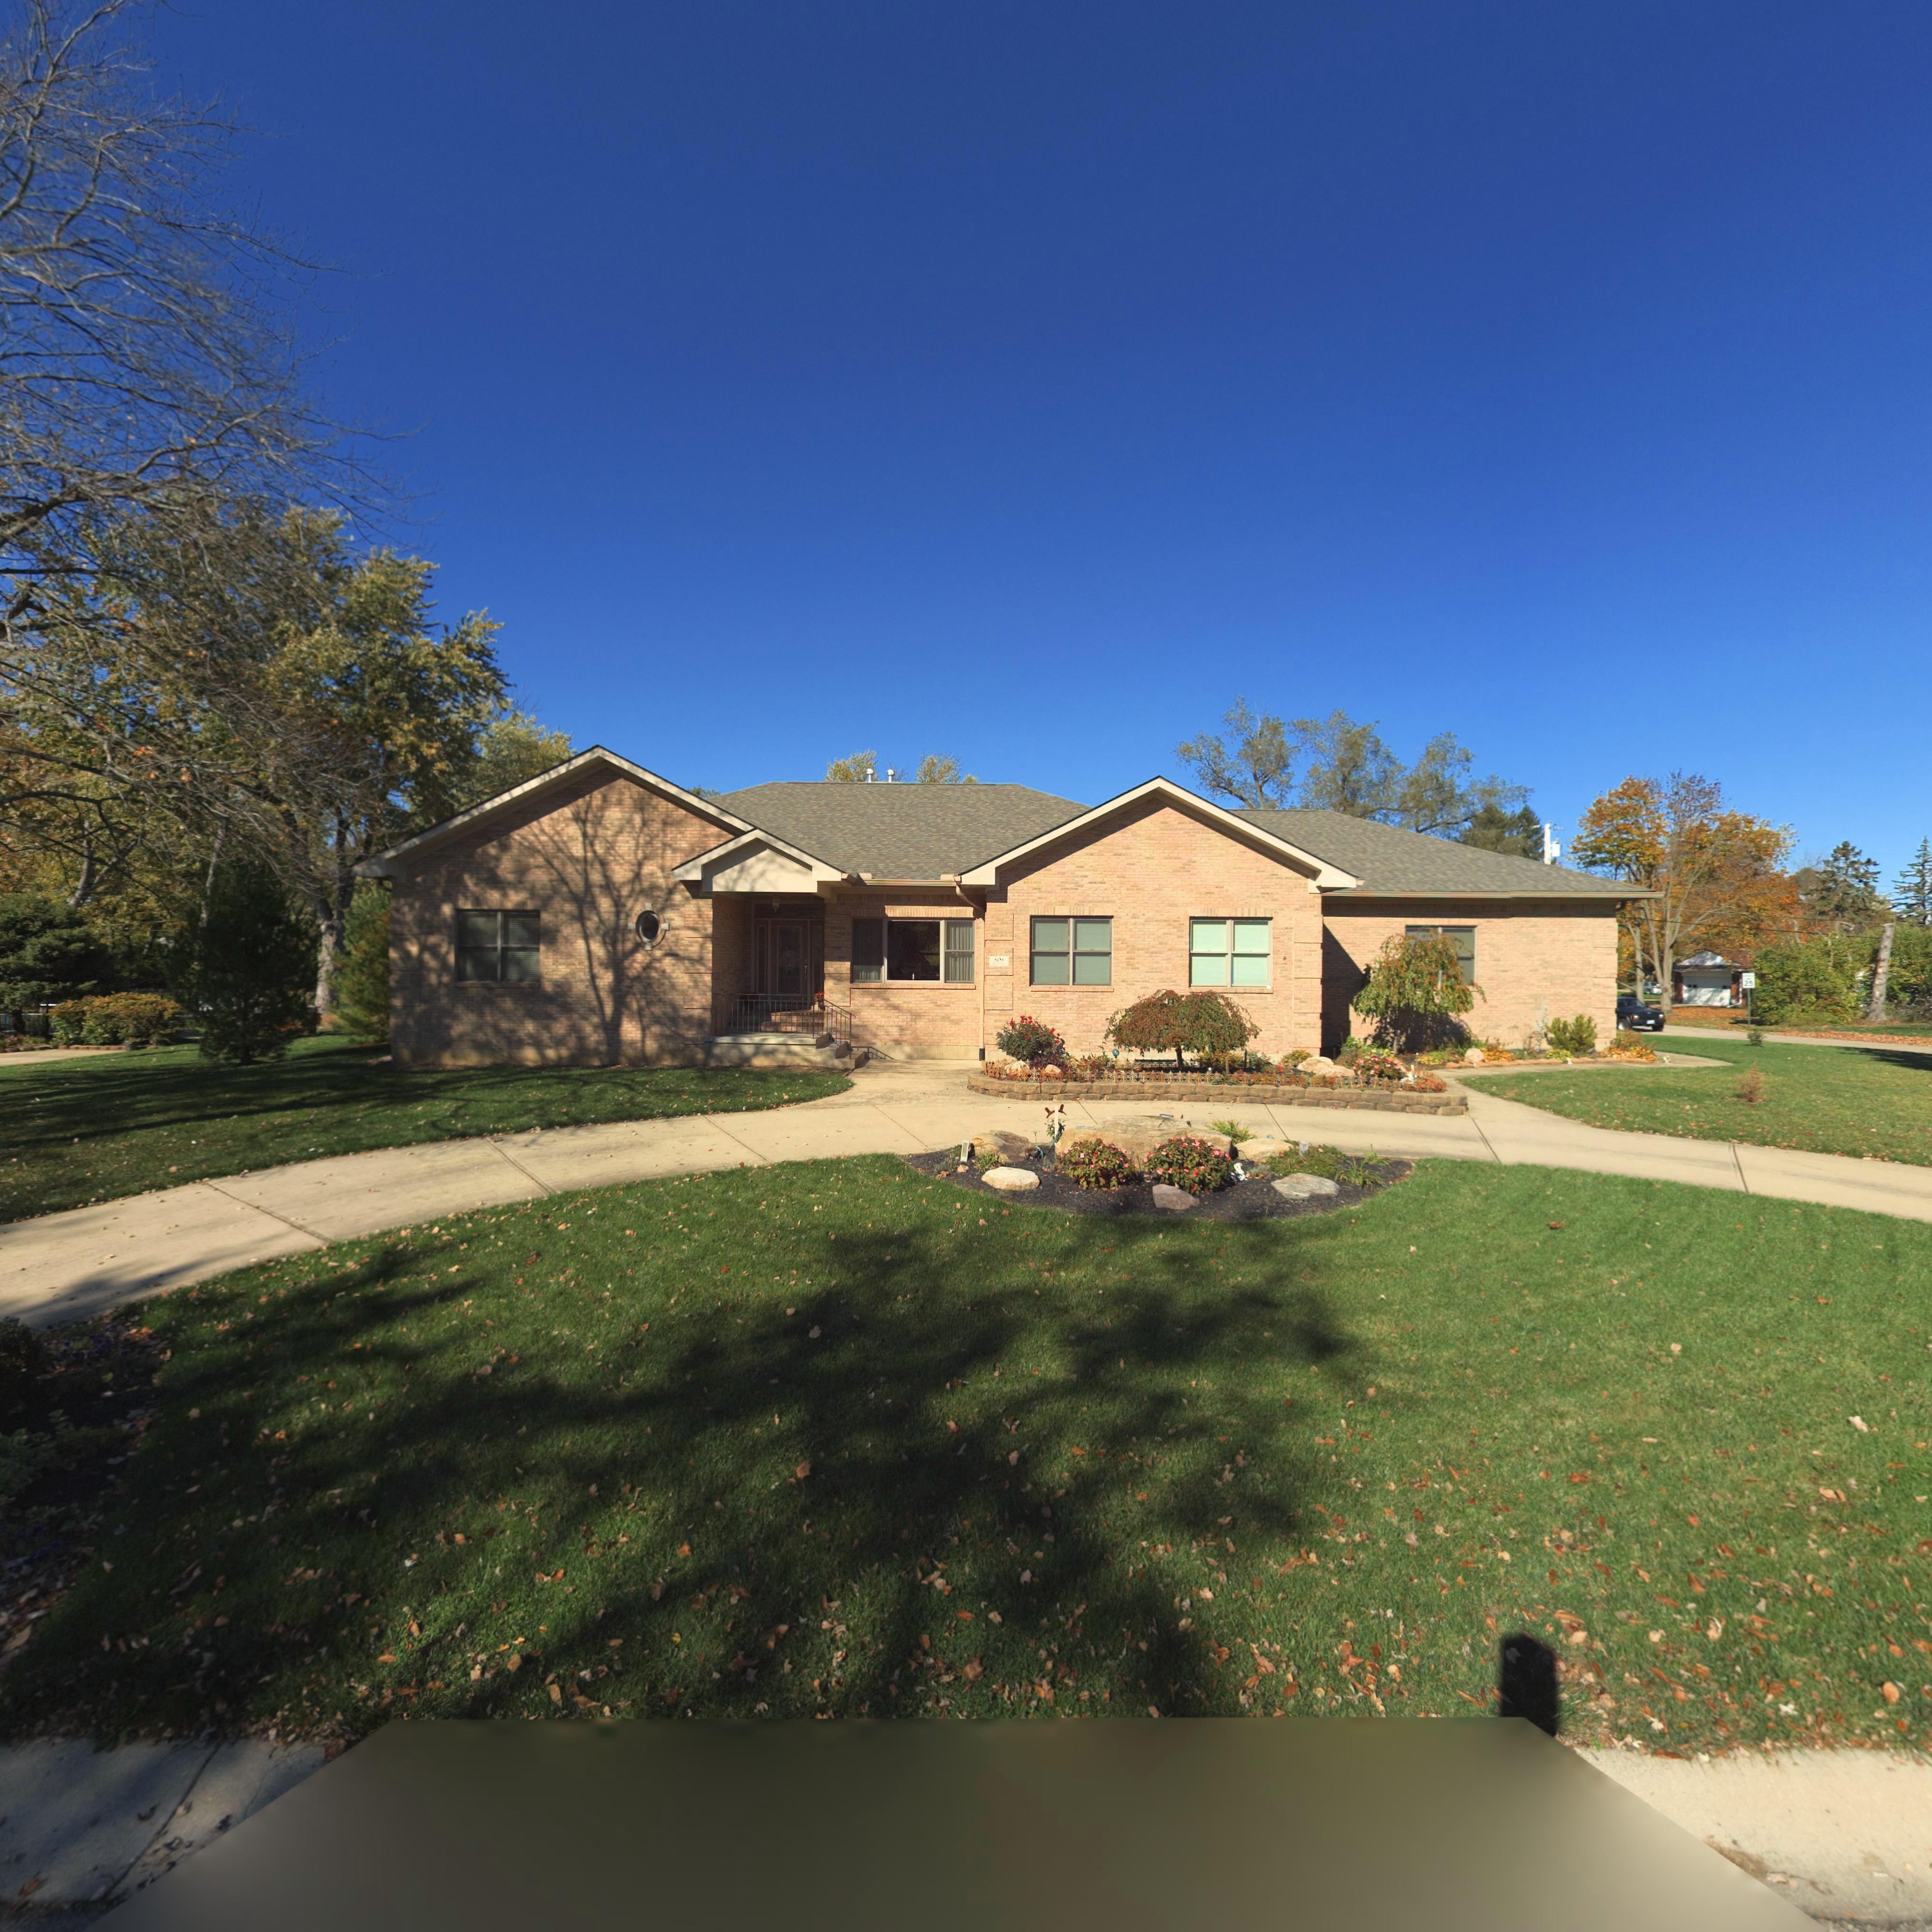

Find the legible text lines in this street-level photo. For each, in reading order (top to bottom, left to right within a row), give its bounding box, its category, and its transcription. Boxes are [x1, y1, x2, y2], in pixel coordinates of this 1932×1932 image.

[993, 957, 1005, 963] StreetNumber: 503
[1743, 980, 1755, 987] None: 25